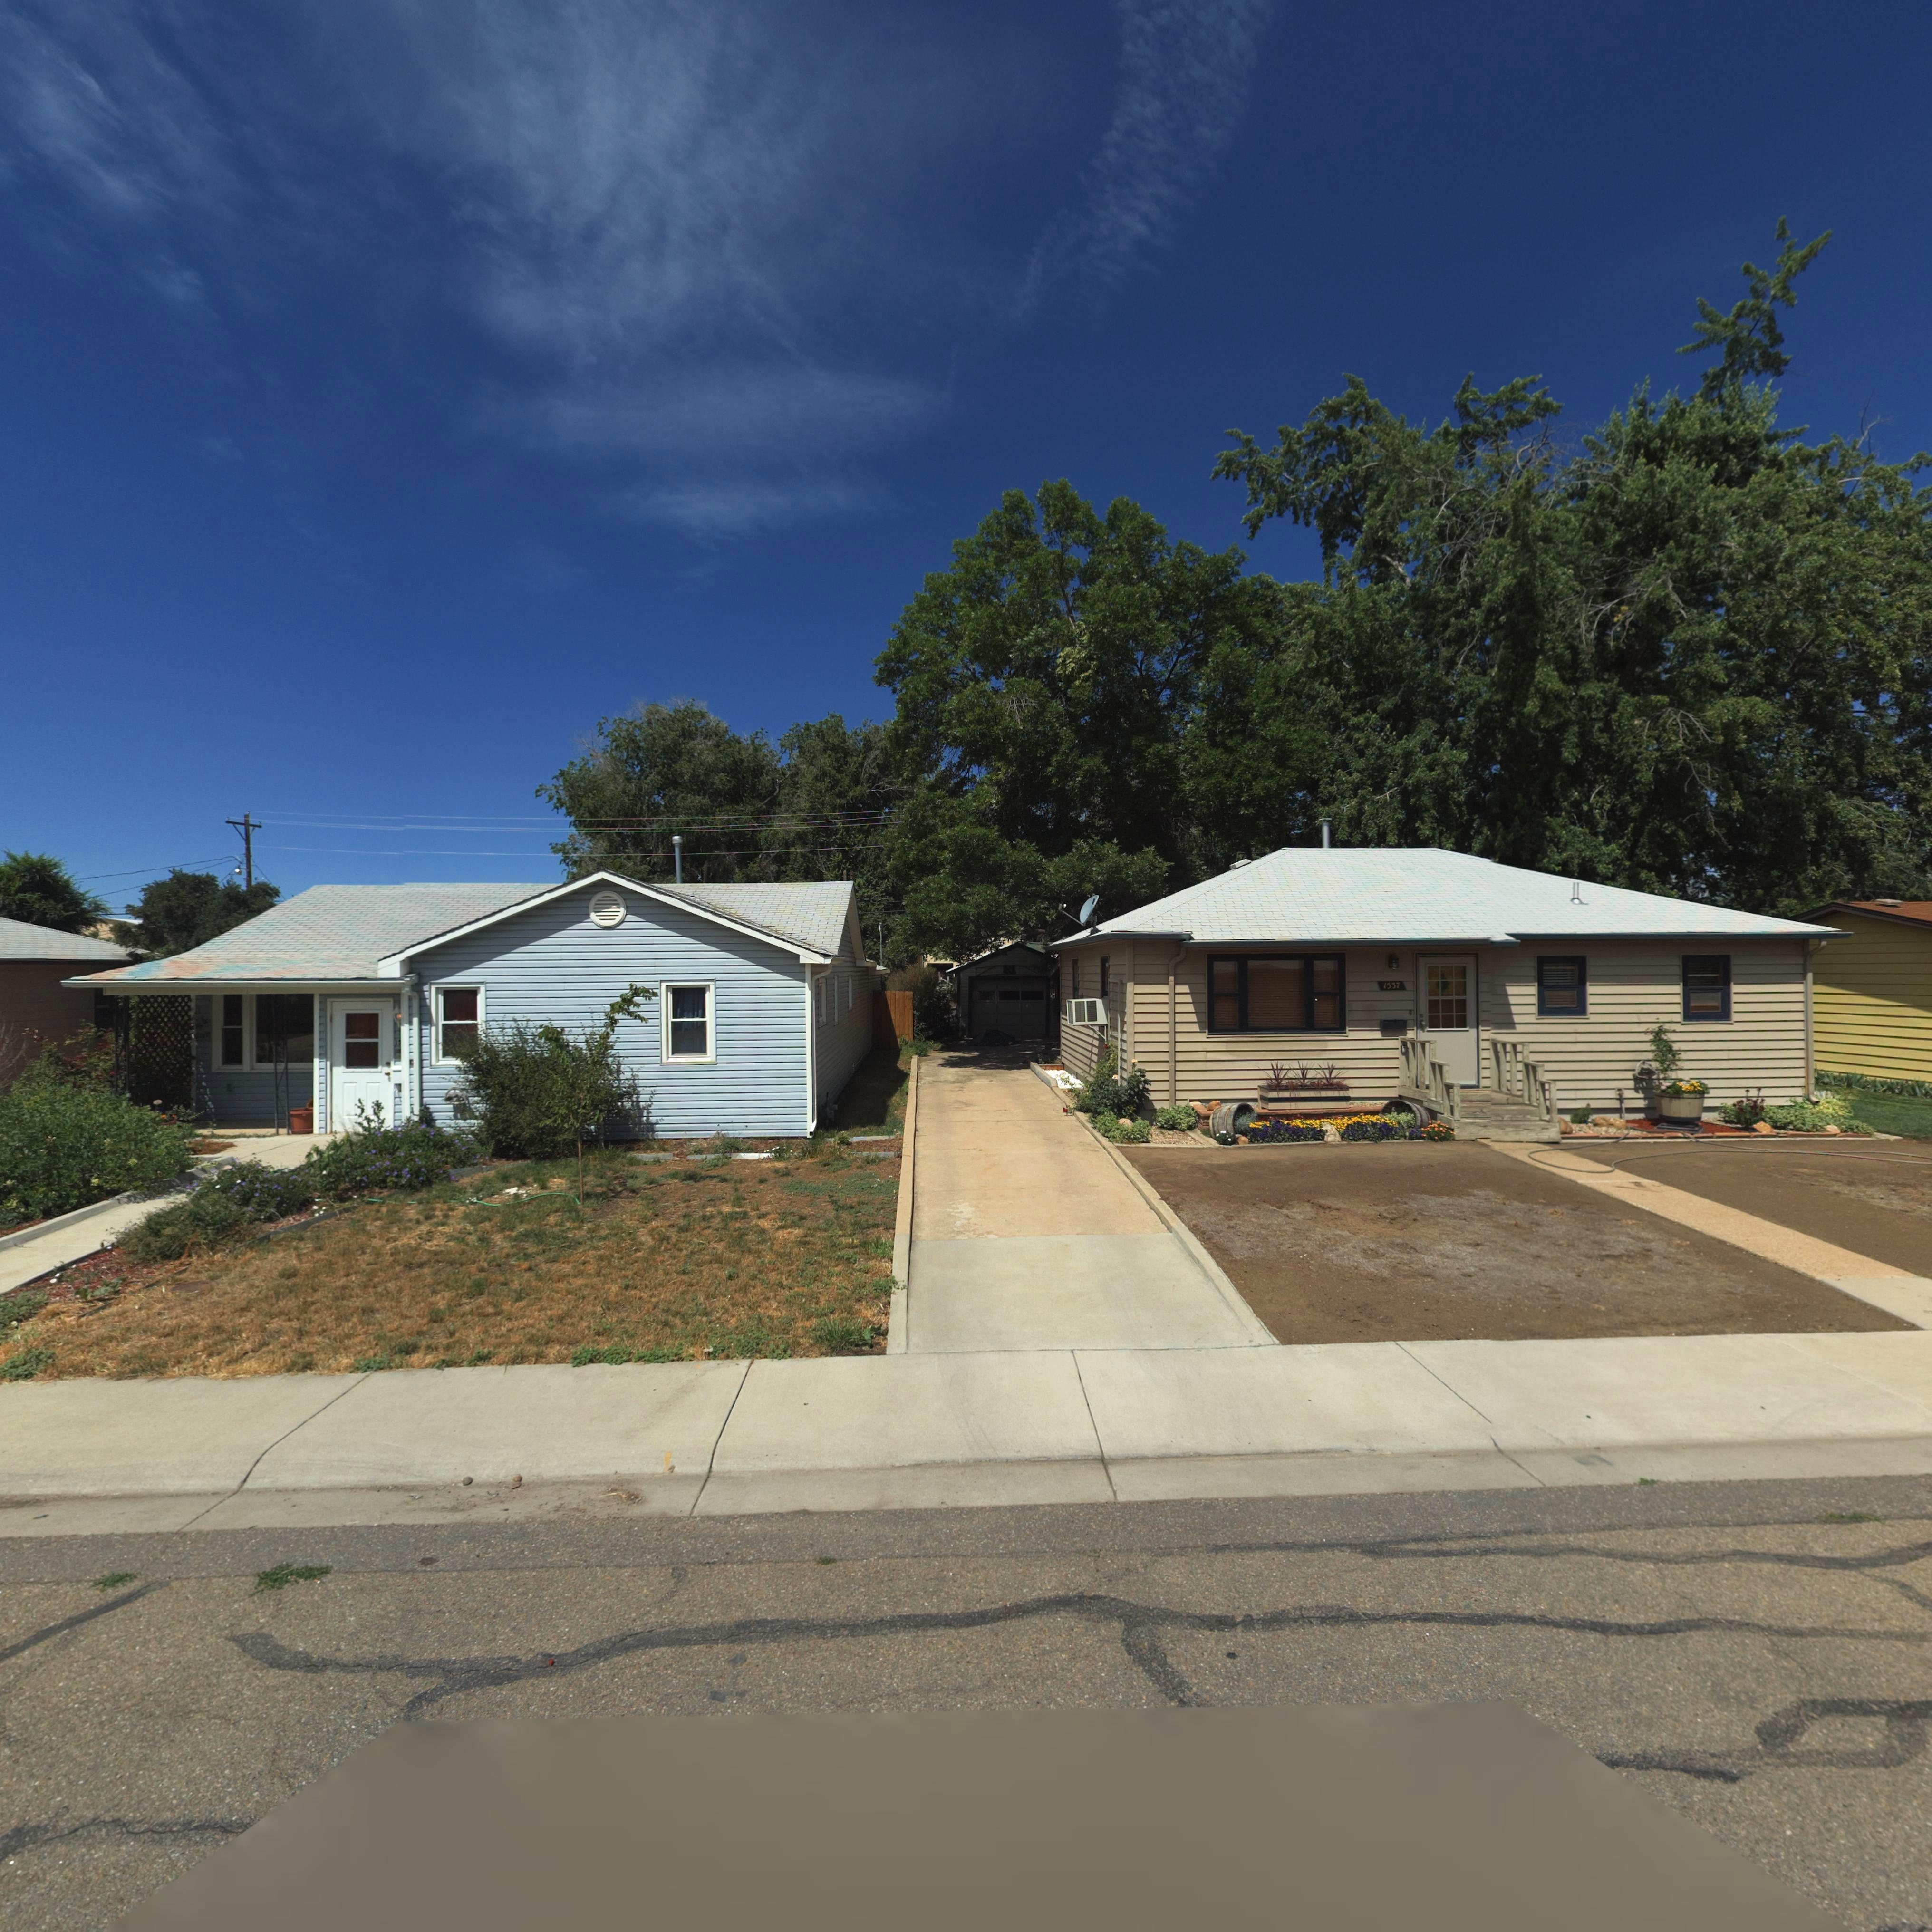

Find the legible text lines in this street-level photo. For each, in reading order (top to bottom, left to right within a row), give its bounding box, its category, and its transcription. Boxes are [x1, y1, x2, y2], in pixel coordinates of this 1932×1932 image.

[1383, 981, 1400, 989] StreetNumber: 1537
[395, 1039, 401, 1045] StreetNumber: 15